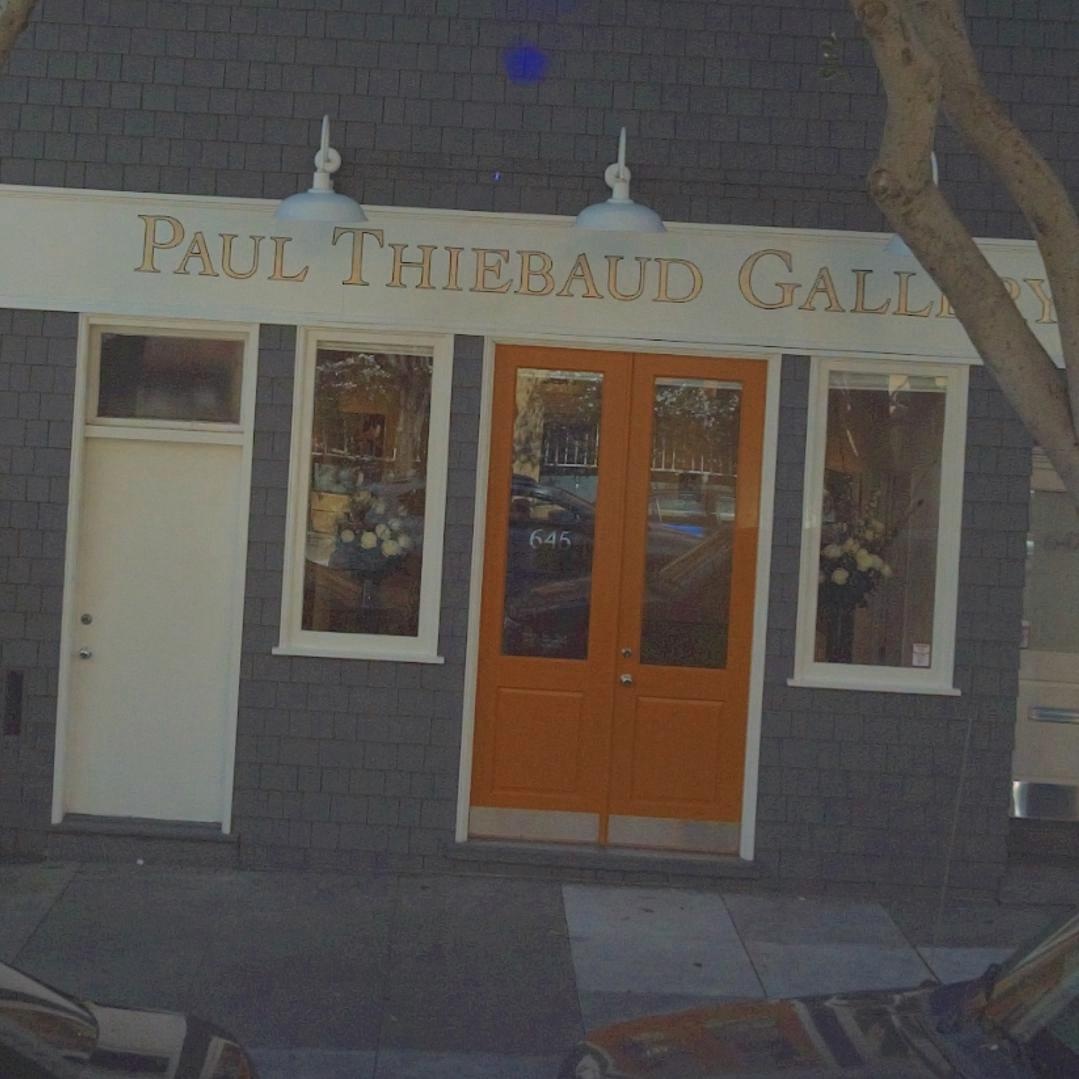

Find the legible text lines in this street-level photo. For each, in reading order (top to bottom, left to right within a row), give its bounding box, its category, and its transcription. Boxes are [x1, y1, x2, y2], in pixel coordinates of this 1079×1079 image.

[129, 211, 938, 319] BusinessName: PAUL THEIBAUD GALL
[528, 529, 573, 553] StreetNumber: 645